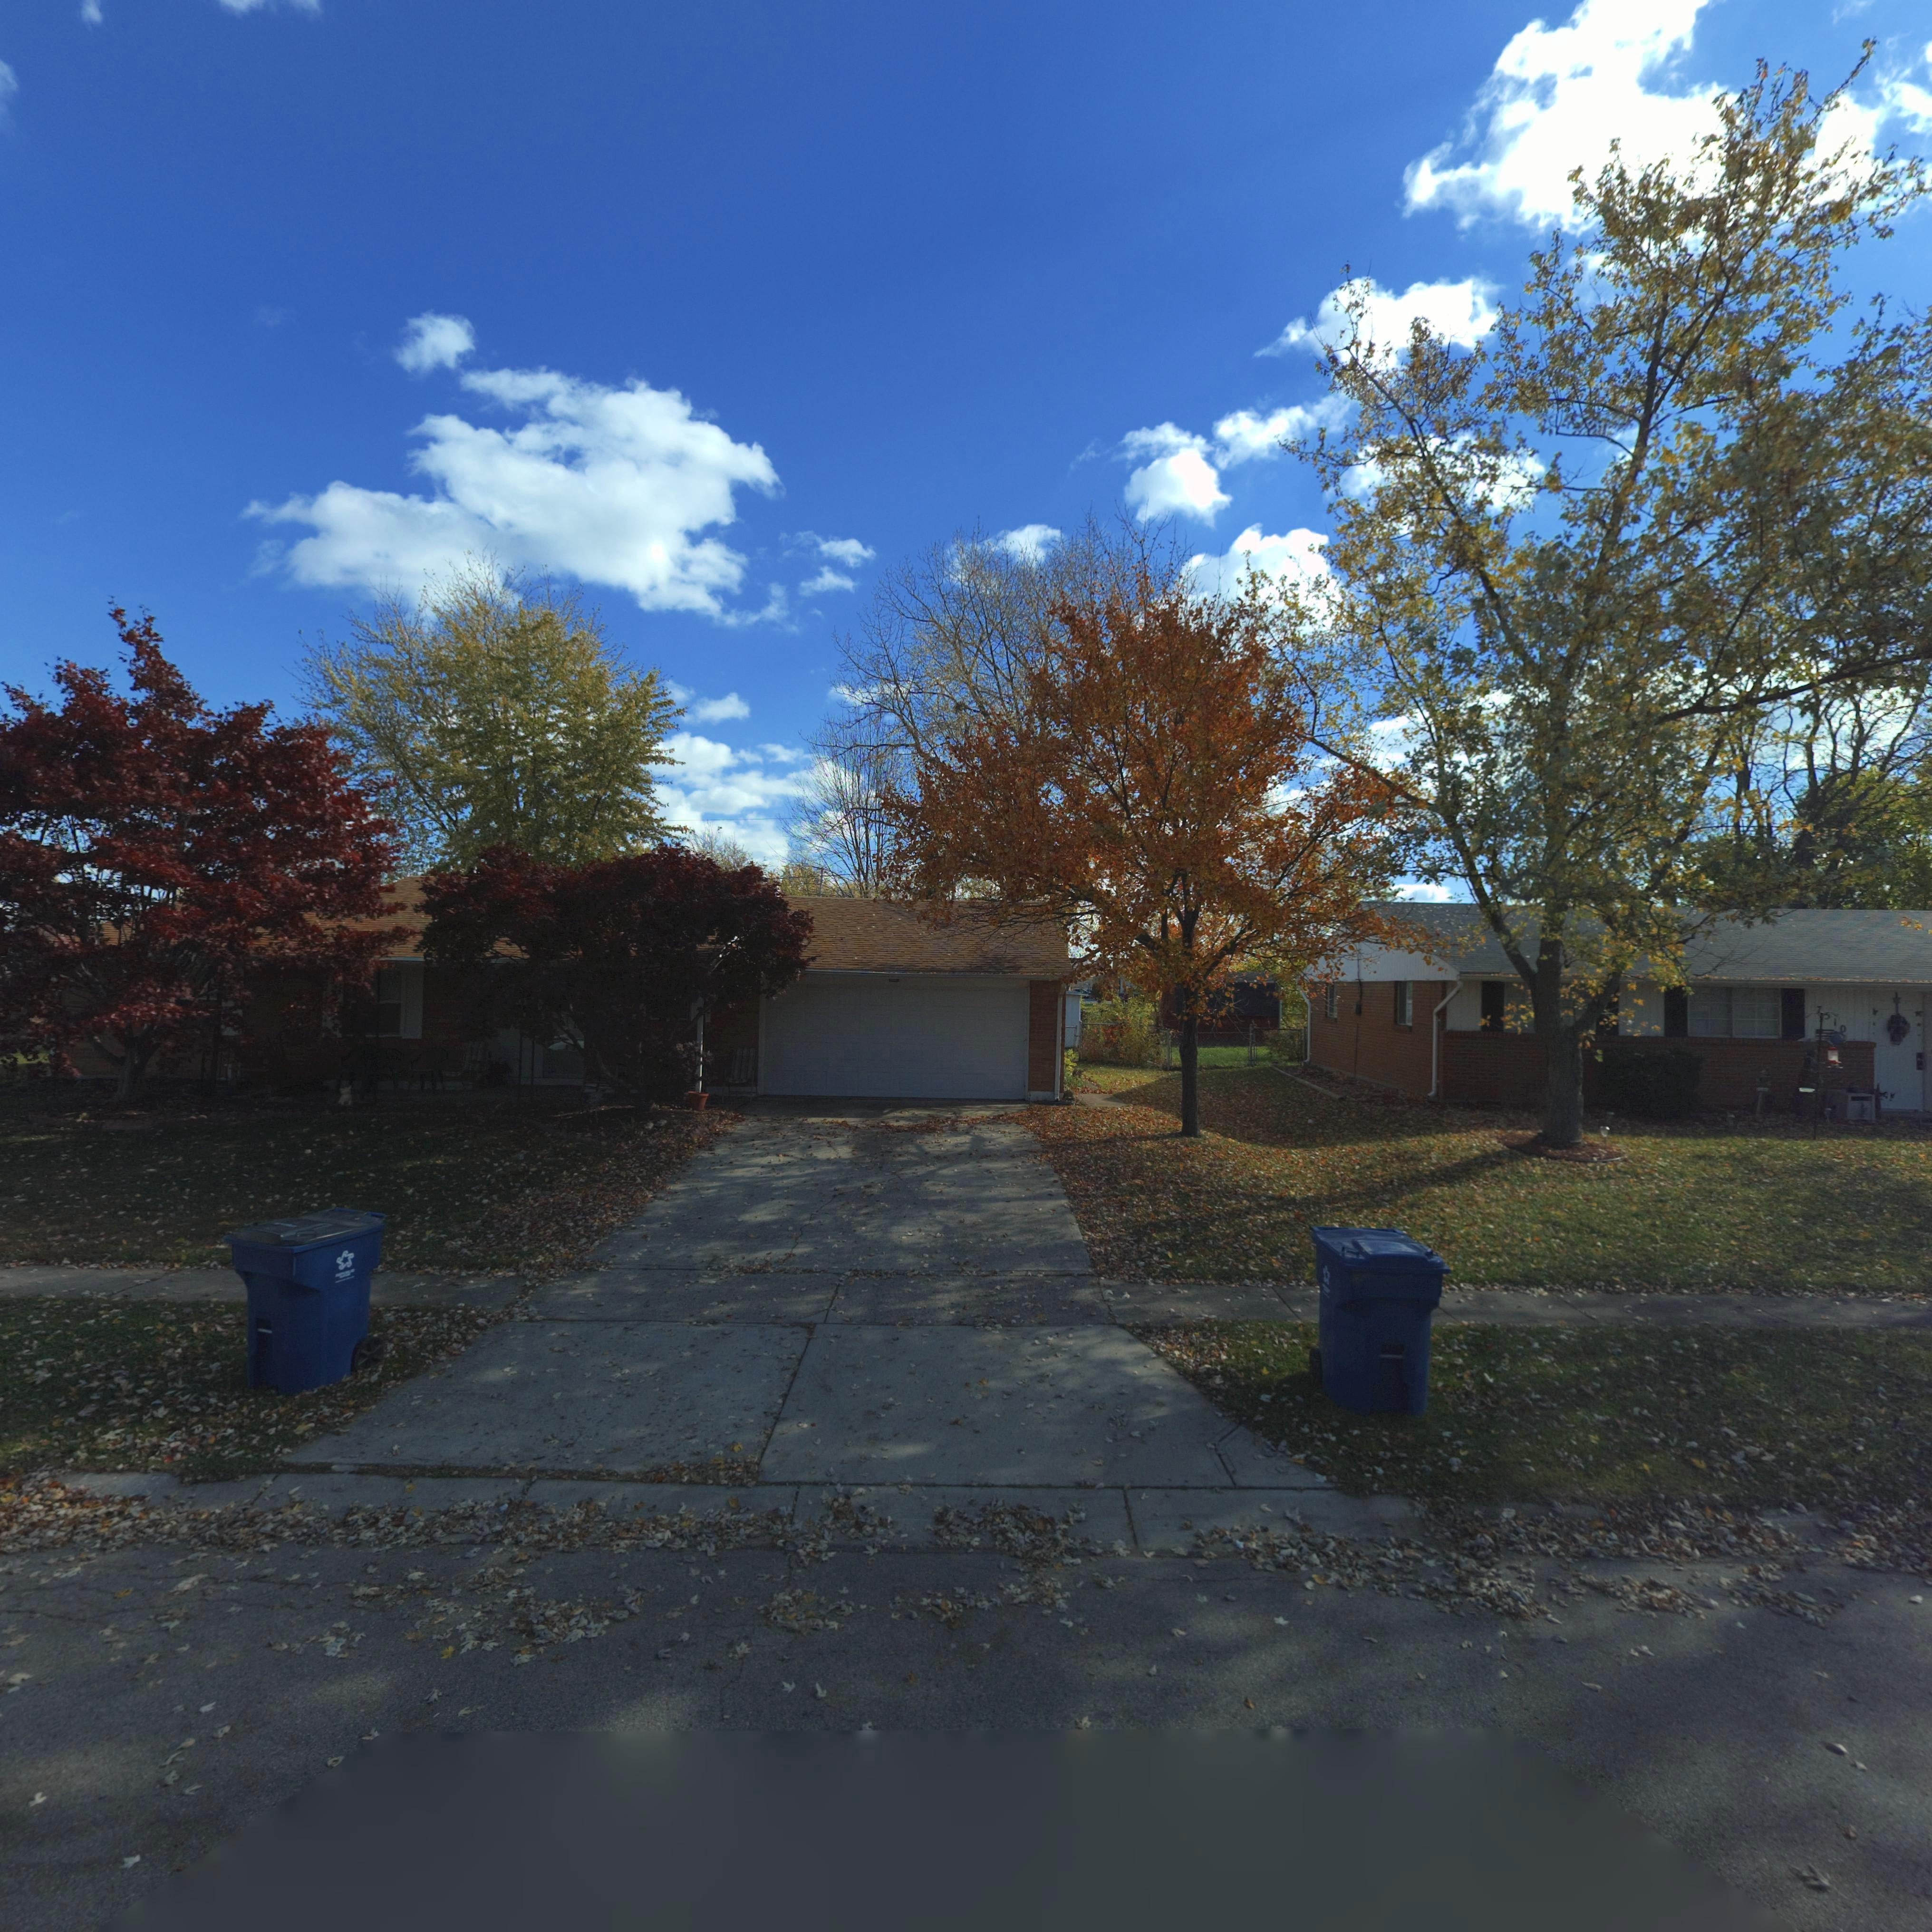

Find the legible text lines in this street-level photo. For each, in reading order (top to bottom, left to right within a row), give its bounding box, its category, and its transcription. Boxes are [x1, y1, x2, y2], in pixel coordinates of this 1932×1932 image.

[1815, 1004, 1847, 1034] StreetNumber: 7*10